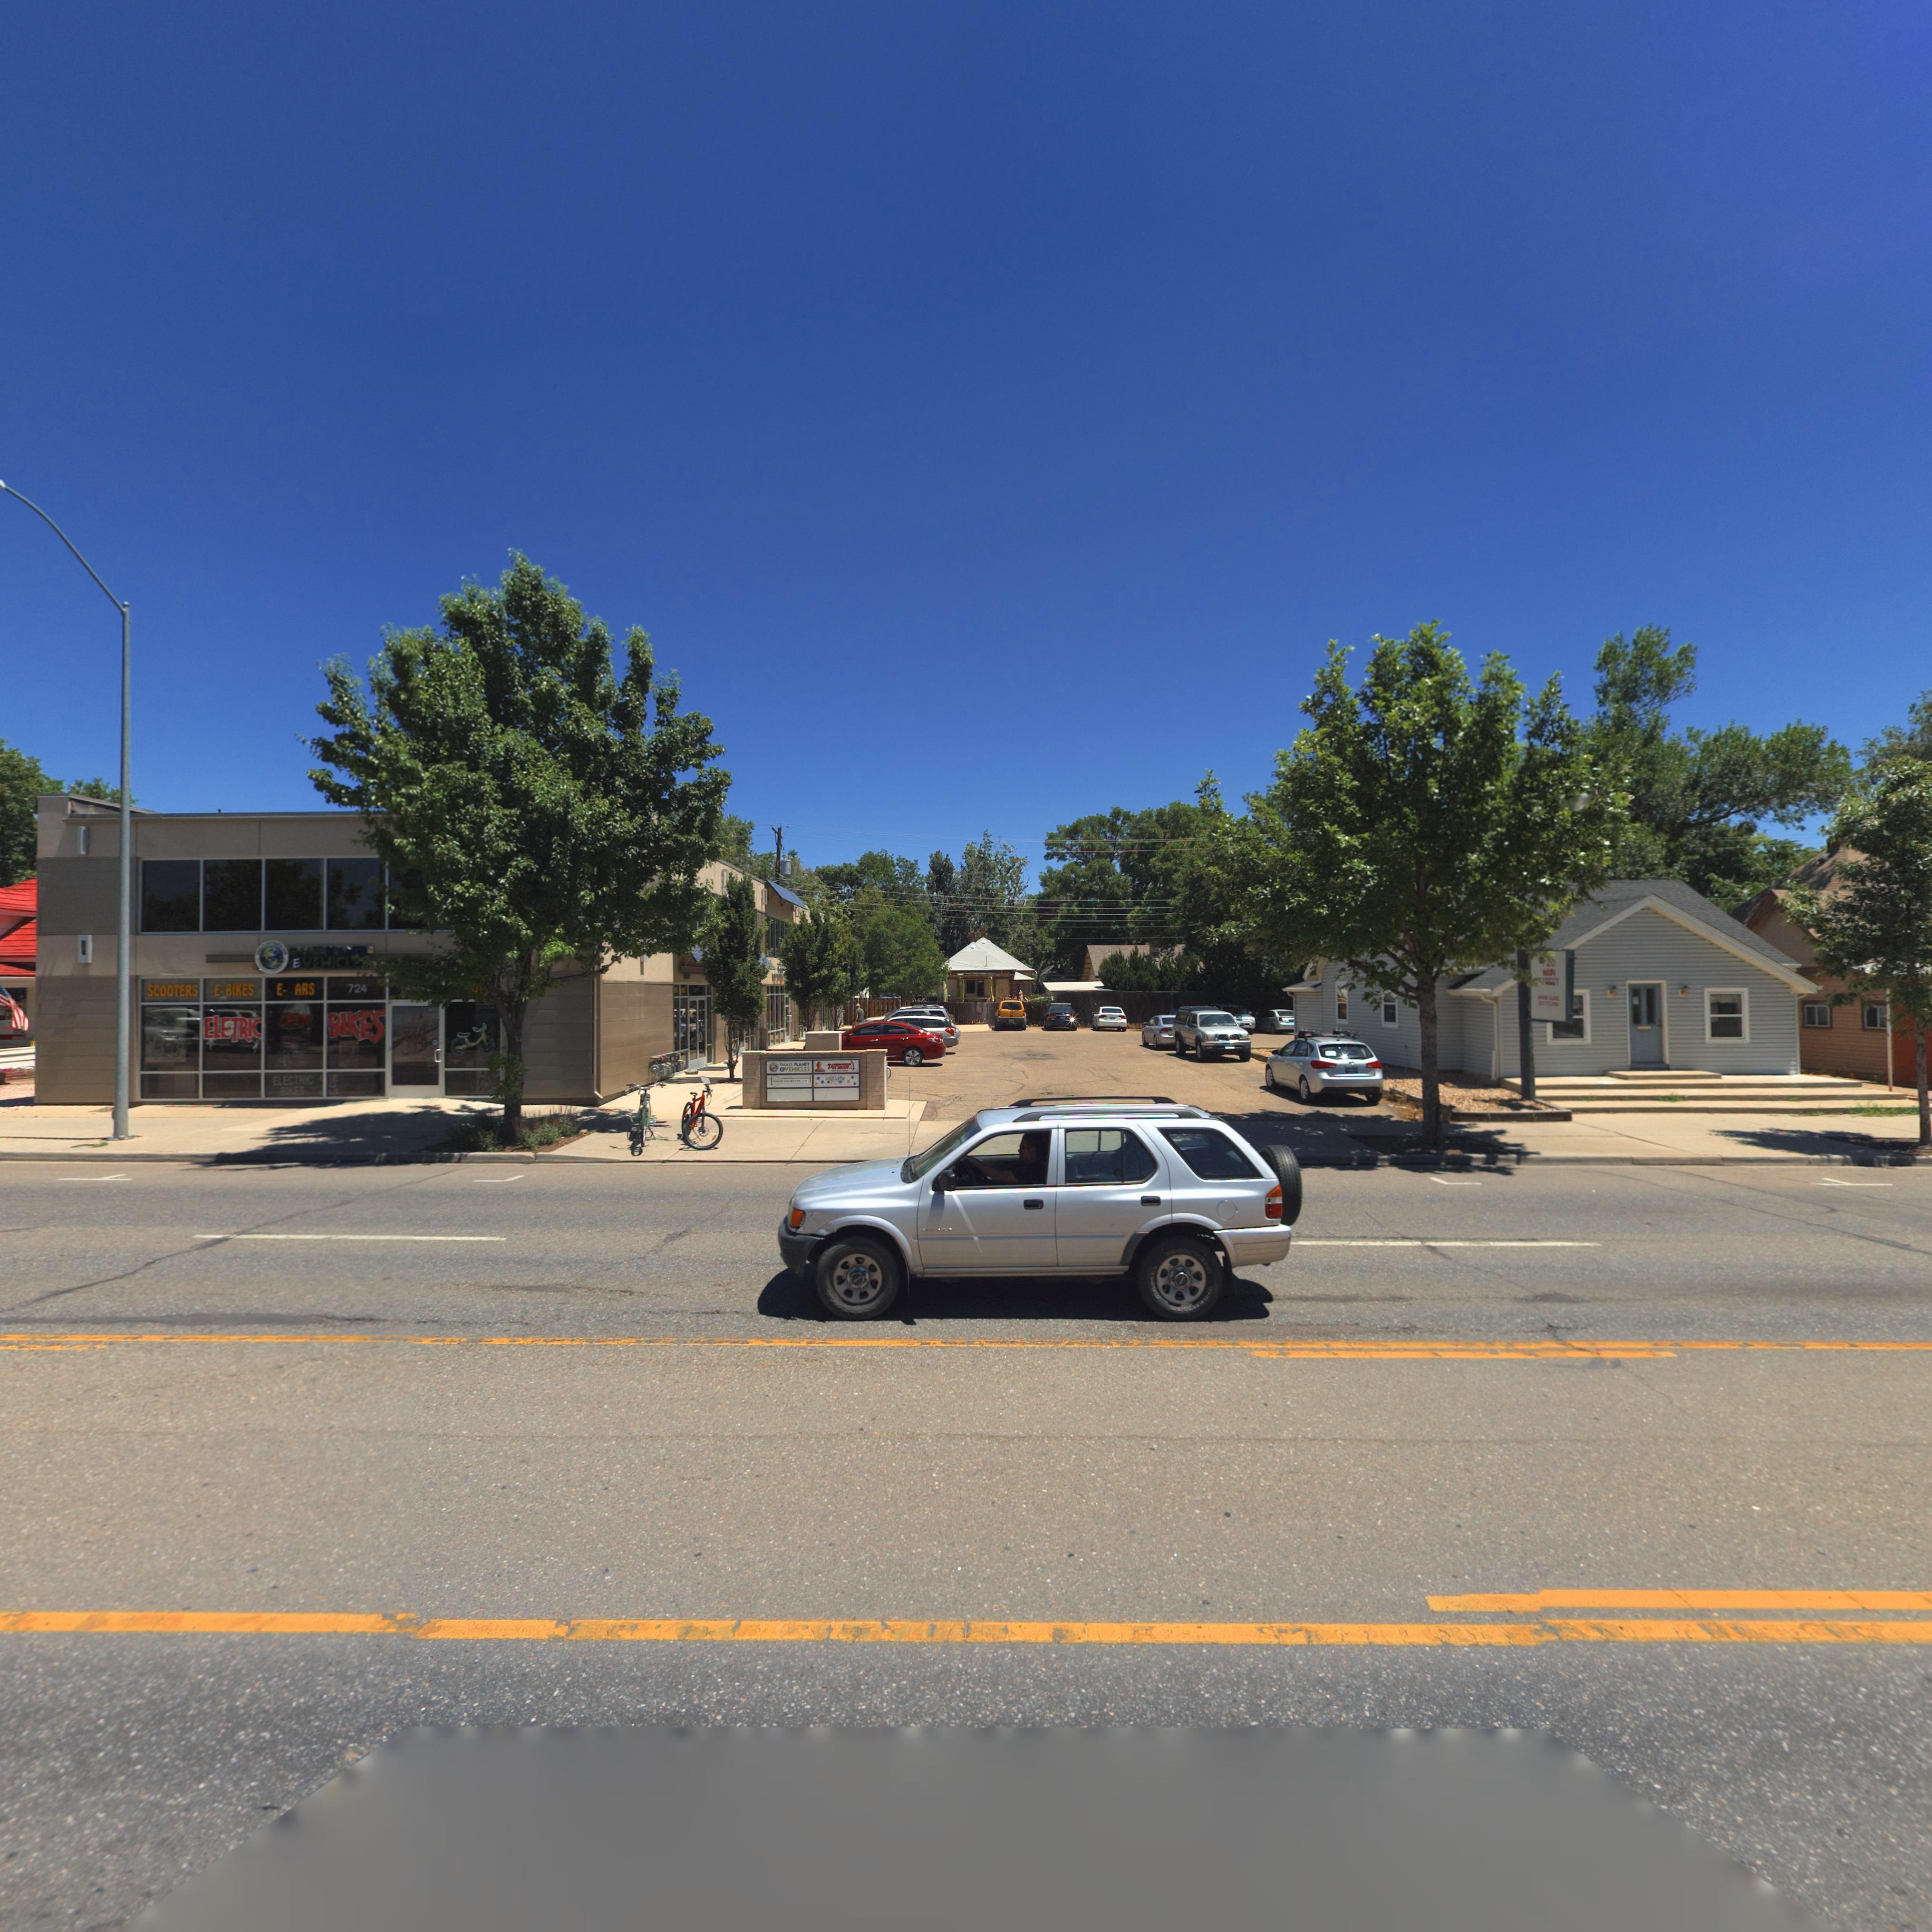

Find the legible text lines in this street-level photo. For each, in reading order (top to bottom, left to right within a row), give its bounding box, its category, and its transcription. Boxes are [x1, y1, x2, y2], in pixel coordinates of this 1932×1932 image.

[292, 956, 370, 970] BusinessName: E VEHICL**
[1542, 959, 1555, 966] StreetNumber: *20
[1543, 968, 1555, 976] StreetName: MA*N
[1537, 977, 1559, 986] StreetName: STREET
[348, 983, 367, 993] StreetNumber: 724
[693, 987, 700, 993] SecondaryUnitDesignator: U*** A
[779, 1062, 809, 1066] BusinessName: SMALL PLANET
[781, 1066, 810, 1072] BusinessName: E VEHICLES